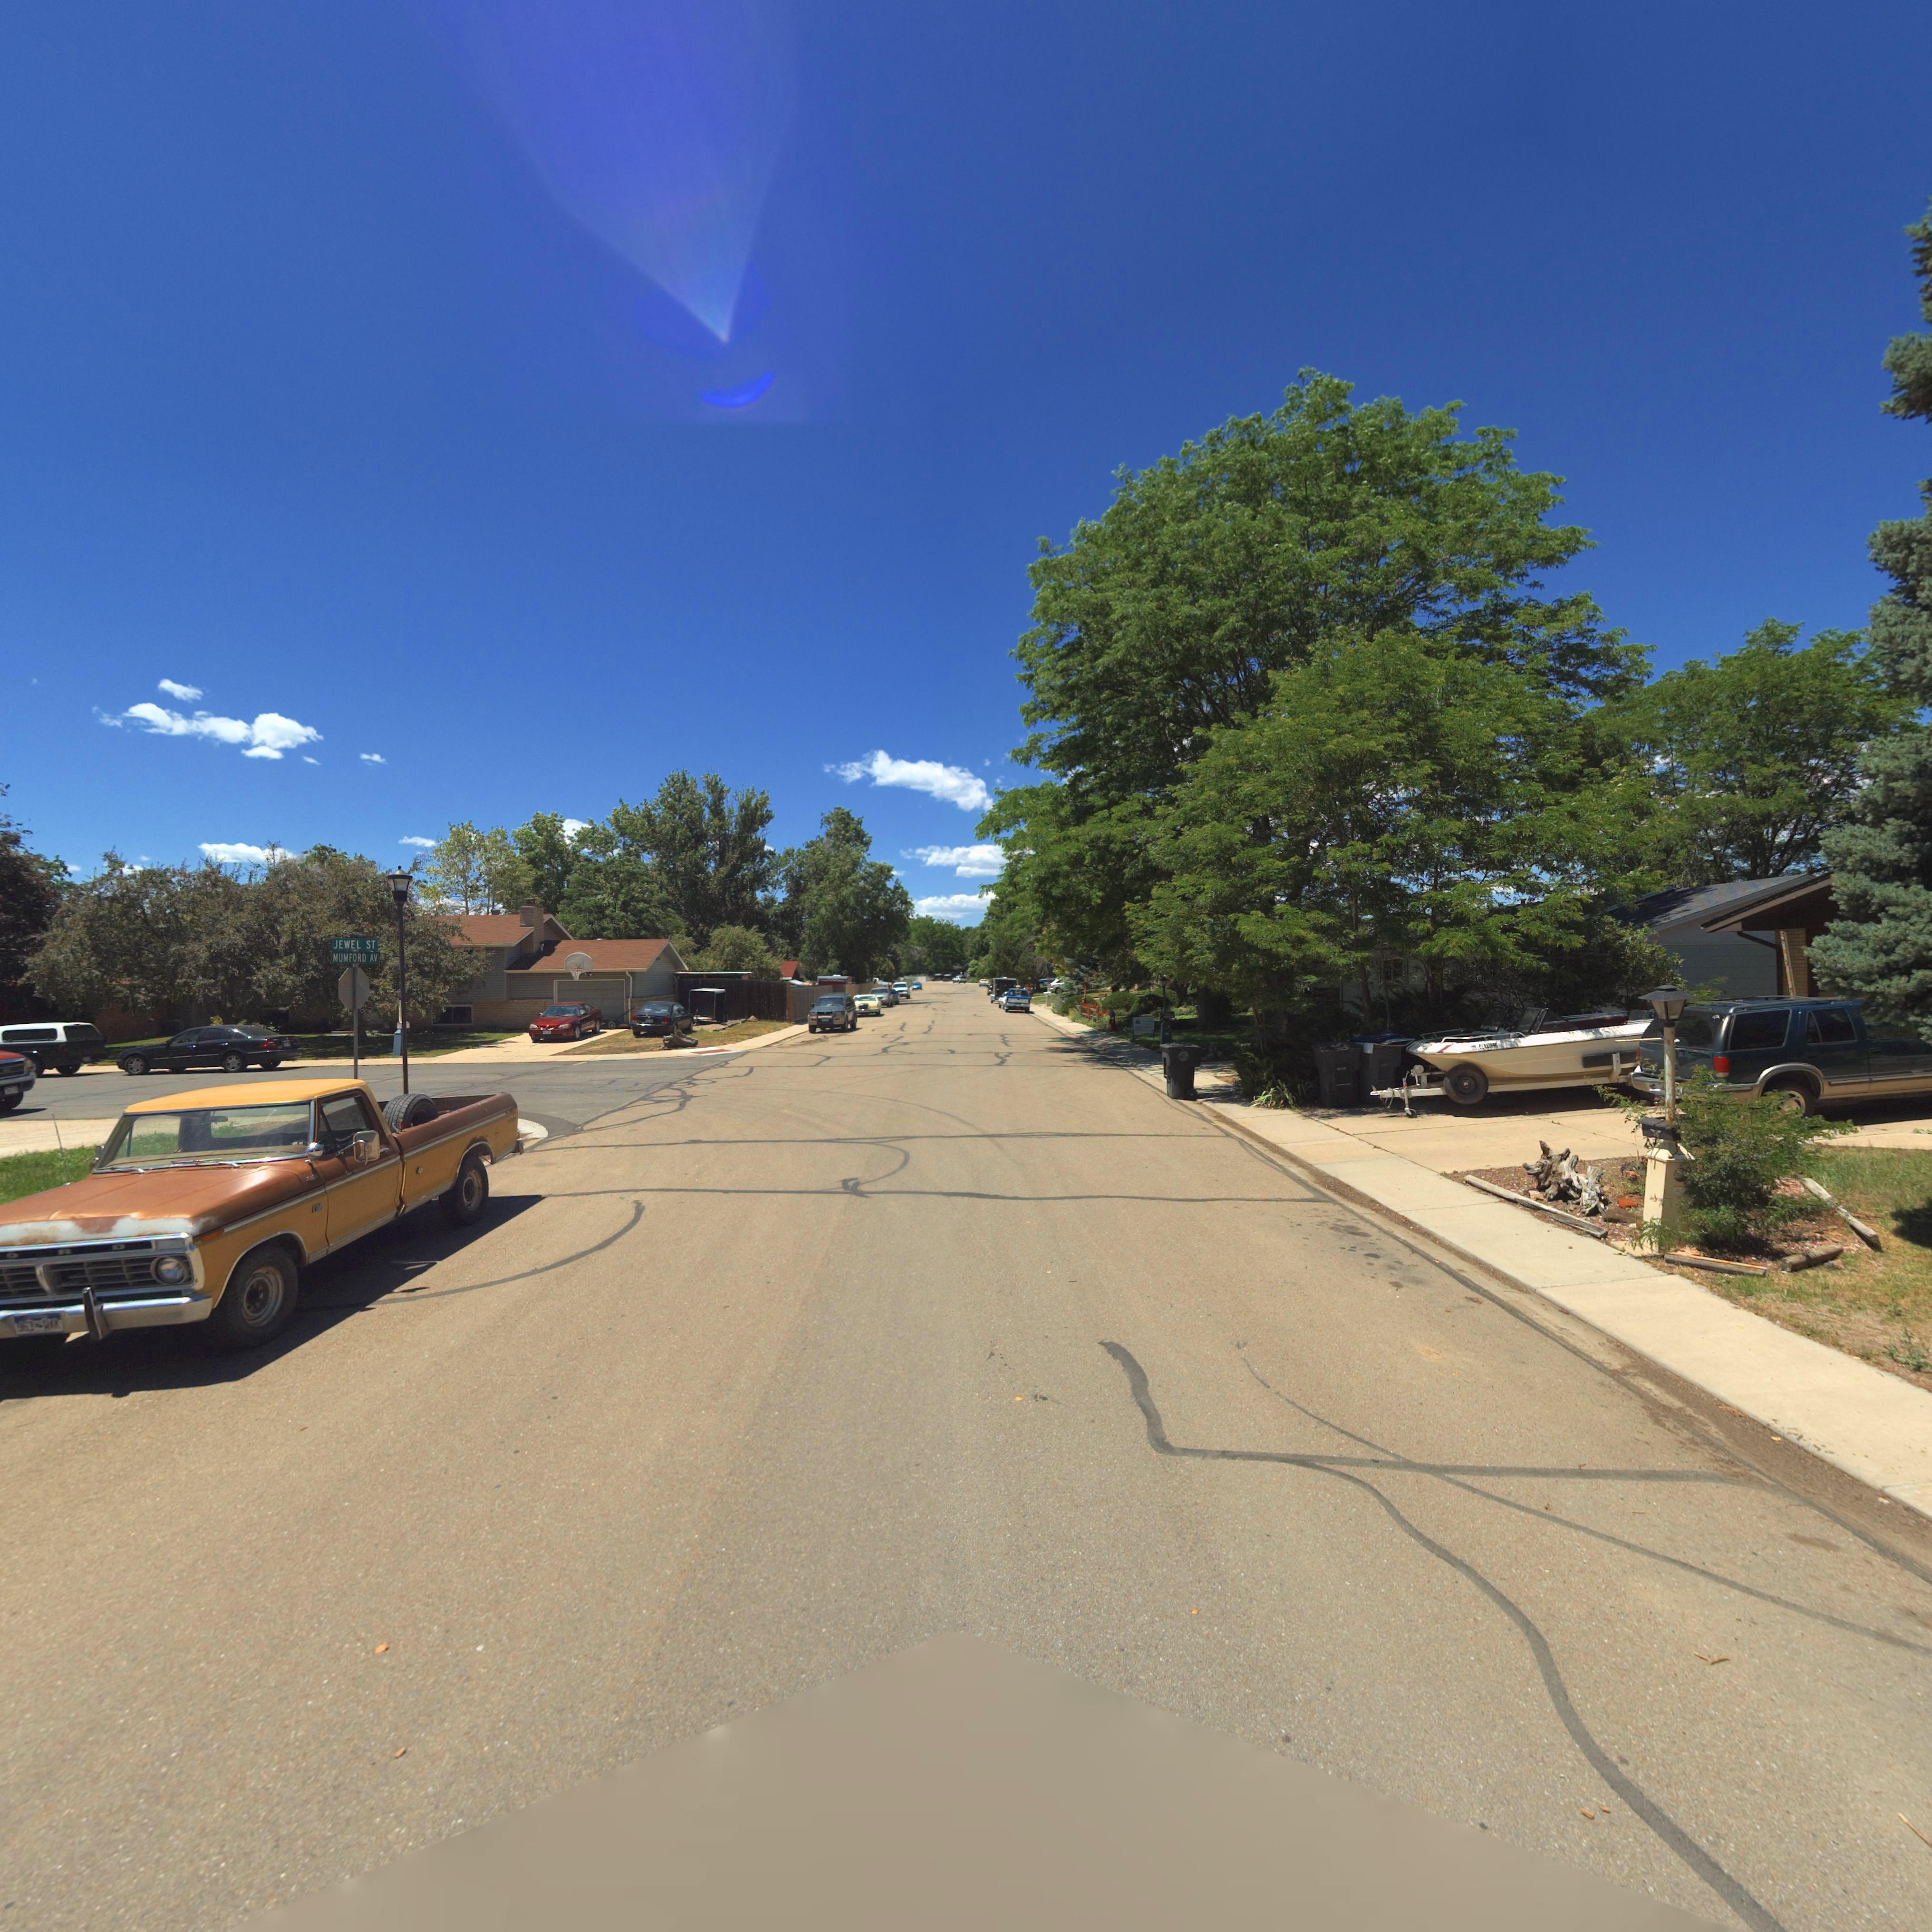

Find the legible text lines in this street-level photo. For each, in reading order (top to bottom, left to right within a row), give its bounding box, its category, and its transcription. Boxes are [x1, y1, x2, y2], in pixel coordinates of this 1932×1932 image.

[332, 939, 376, 949] StreetName: JEWEL ST
[332, 952, 378, 962] StreetName: MUMFORD AV